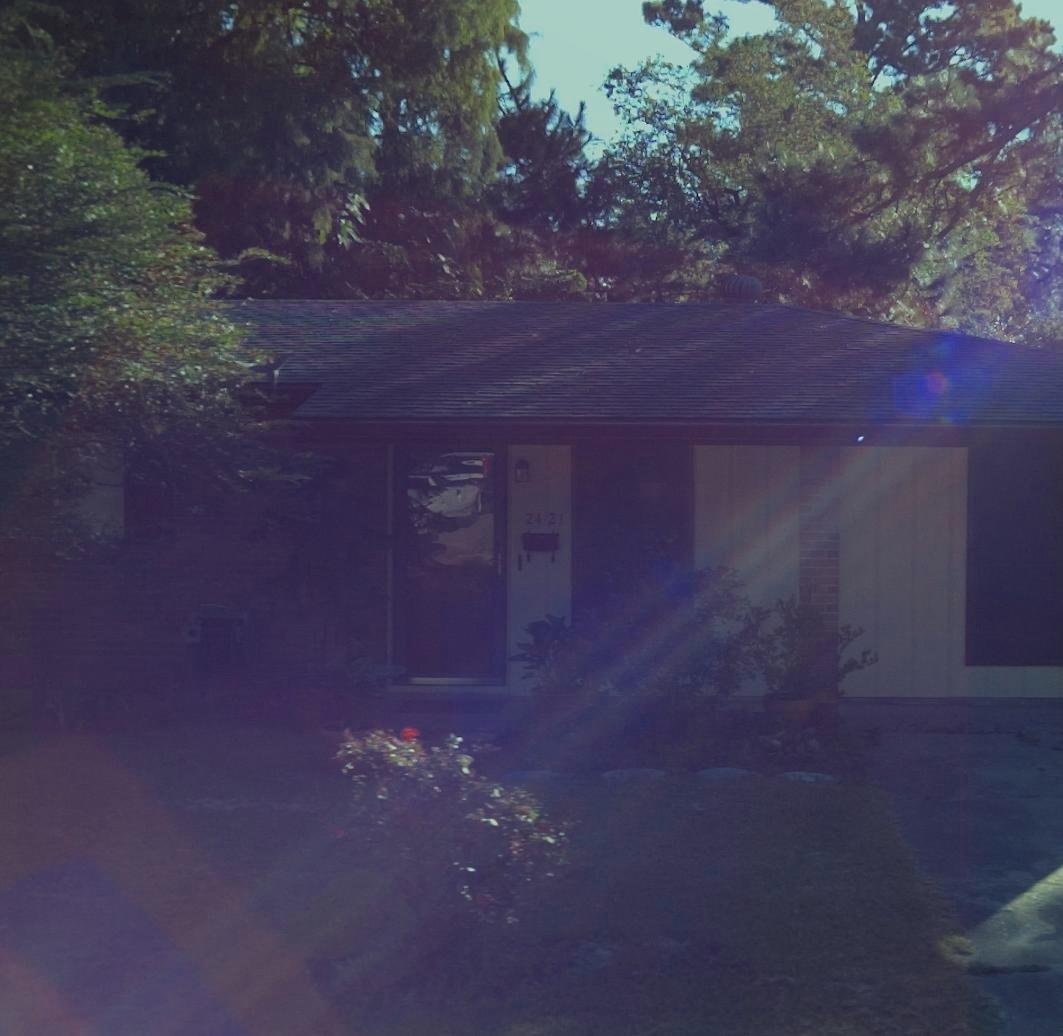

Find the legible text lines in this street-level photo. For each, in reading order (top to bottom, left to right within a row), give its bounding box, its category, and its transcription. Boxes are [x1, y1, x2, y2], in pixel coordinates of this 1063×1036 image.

[524, 511, 567, 527] StreetNumber: 2421